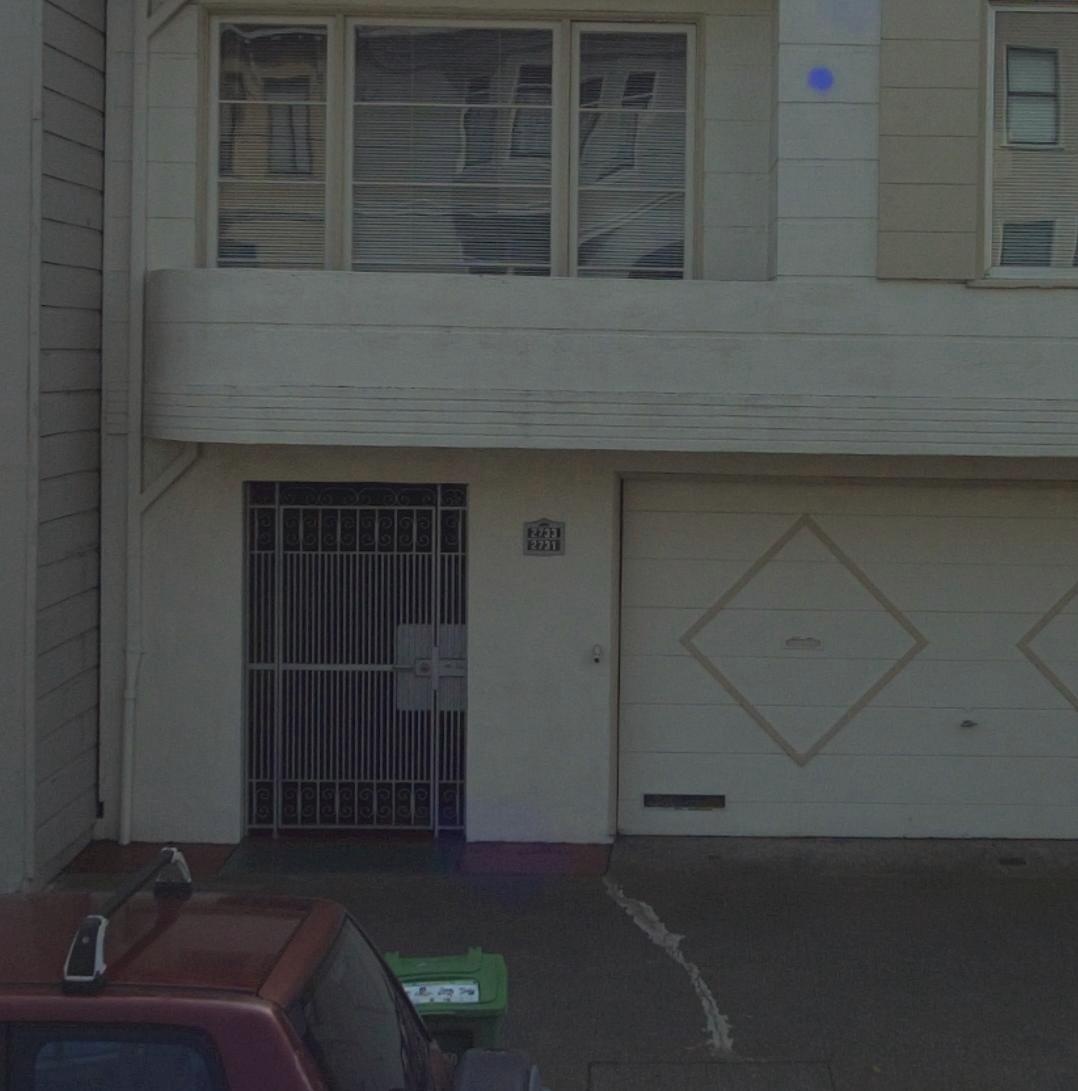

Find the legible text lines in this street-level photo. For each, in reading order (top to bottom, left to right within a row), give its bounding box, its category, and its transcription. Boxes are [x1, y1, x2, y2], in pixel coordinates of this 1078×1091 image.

[529, 527, 558, 539] StreetNumber: 2733
[530, 540, 557, 551] StreetNumber: 2731